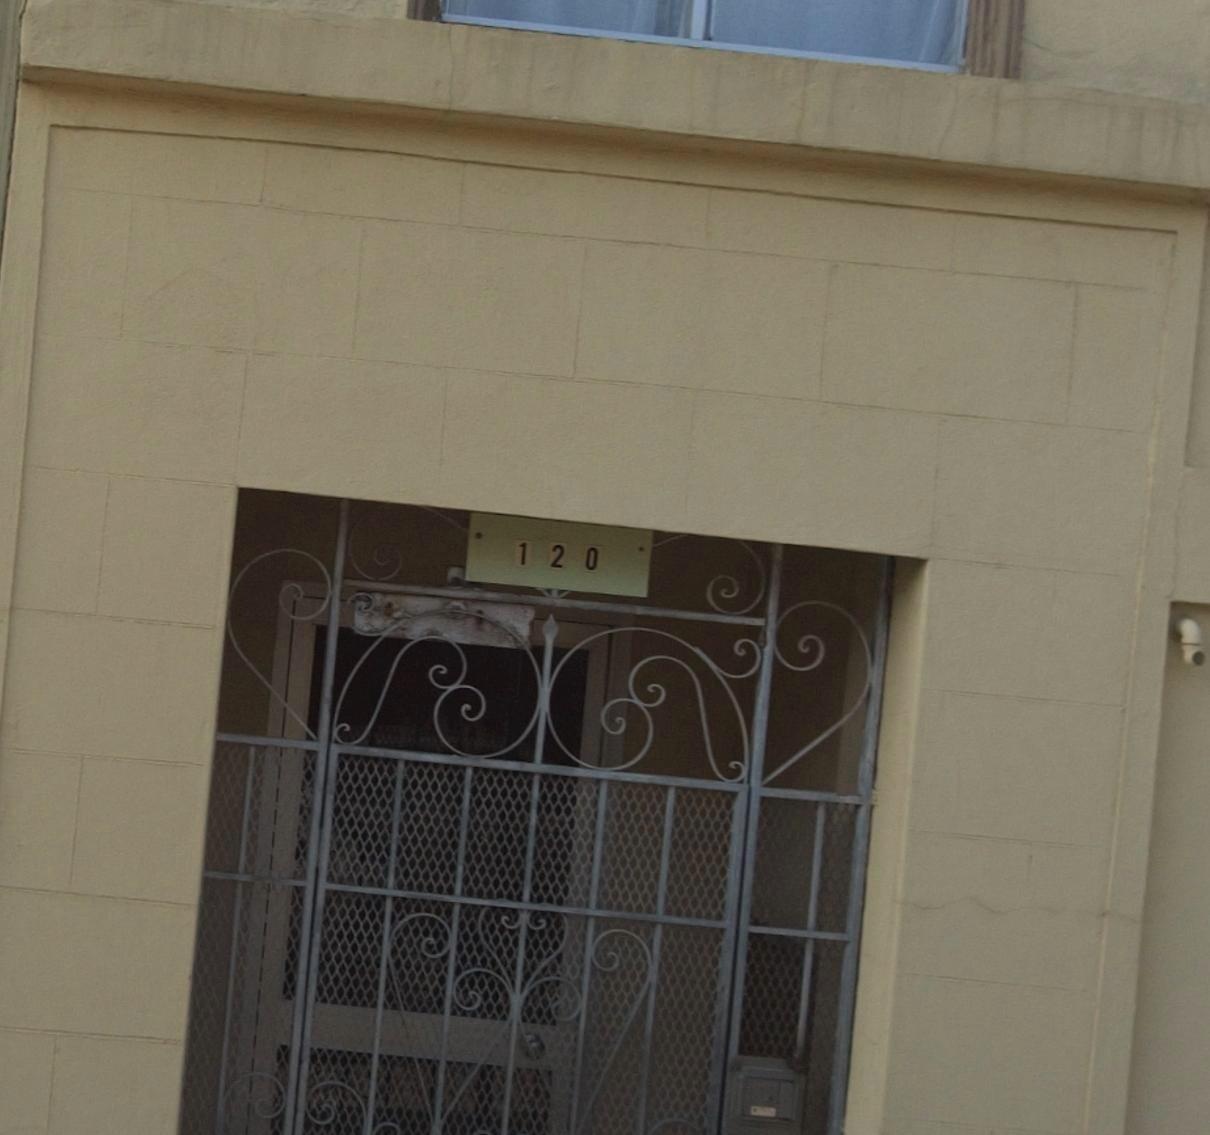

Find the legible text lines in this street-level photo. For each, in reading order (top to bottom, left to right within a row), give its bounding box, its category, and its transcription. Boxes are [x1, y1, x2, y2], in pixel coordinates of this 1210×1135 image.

[516, 537, 602, 574] StreetNumber: 120